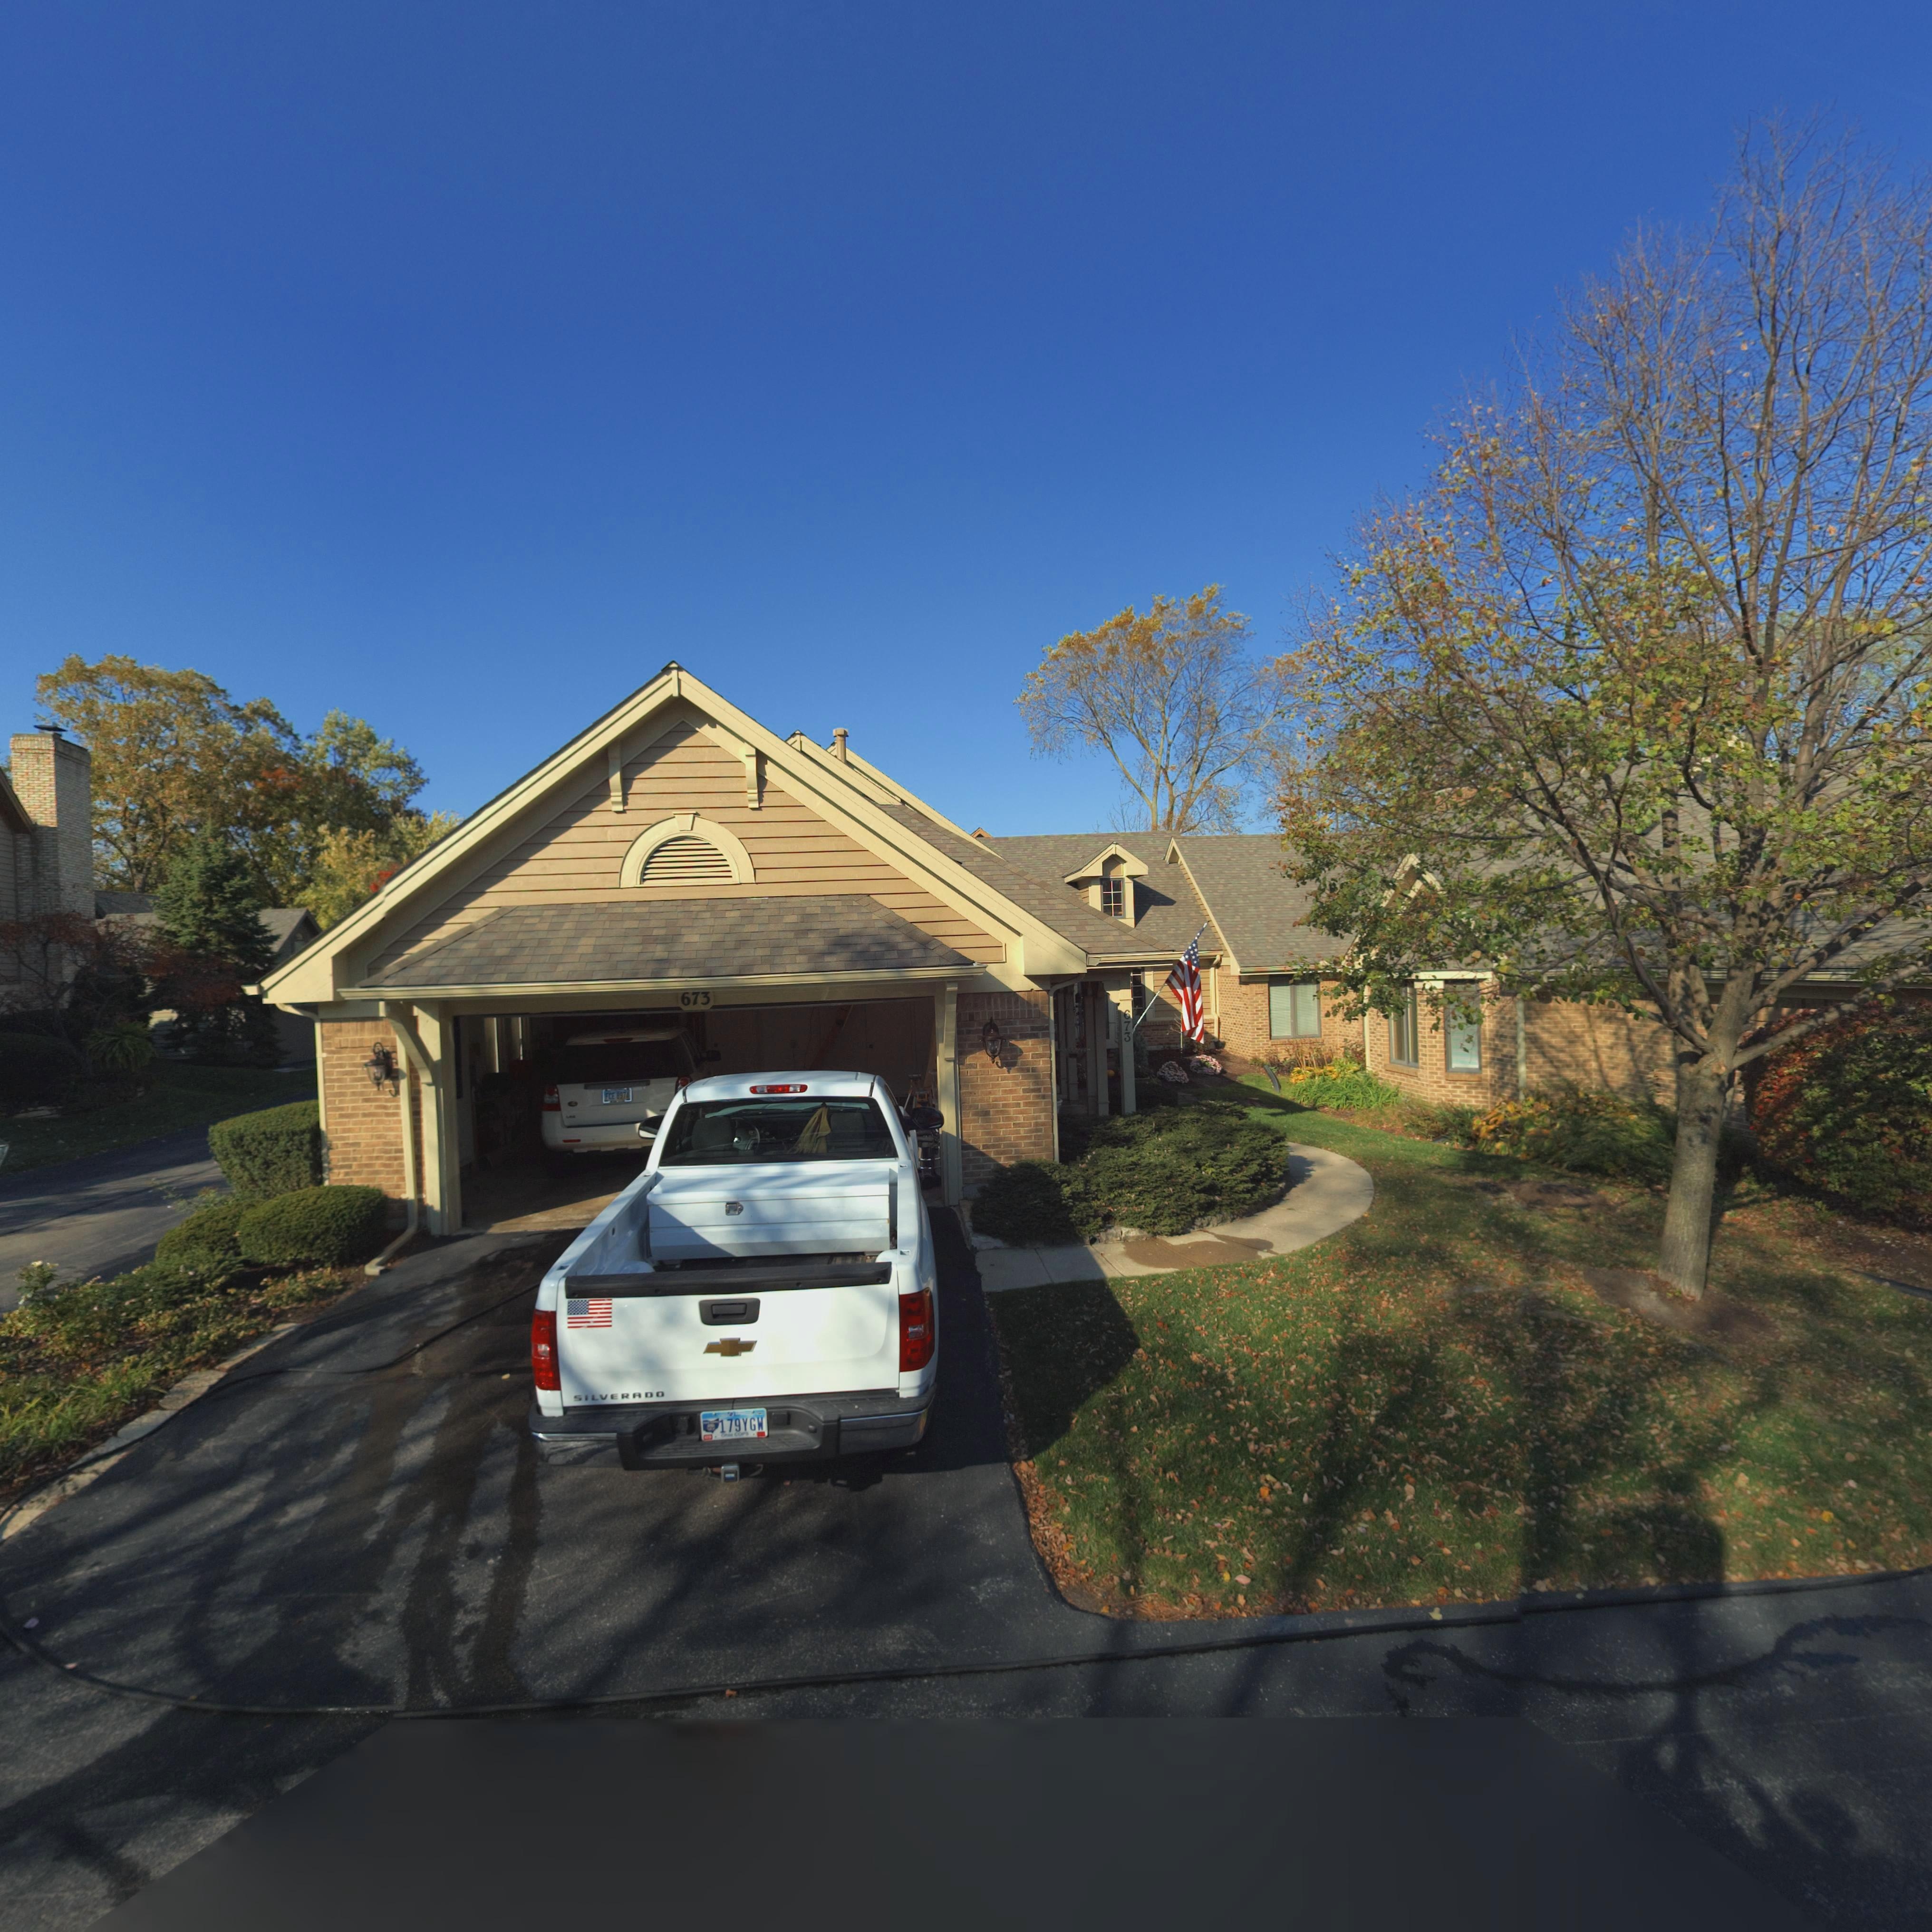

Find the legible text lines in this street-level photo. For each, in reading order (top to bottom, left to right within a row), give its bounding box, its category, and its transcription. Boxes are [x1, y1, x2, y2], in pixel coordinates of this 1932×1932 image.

[679, 990, 713, 1008] StreetNumber: 673
[1123, 1009, 1132, 1043] StreetNumber: 673